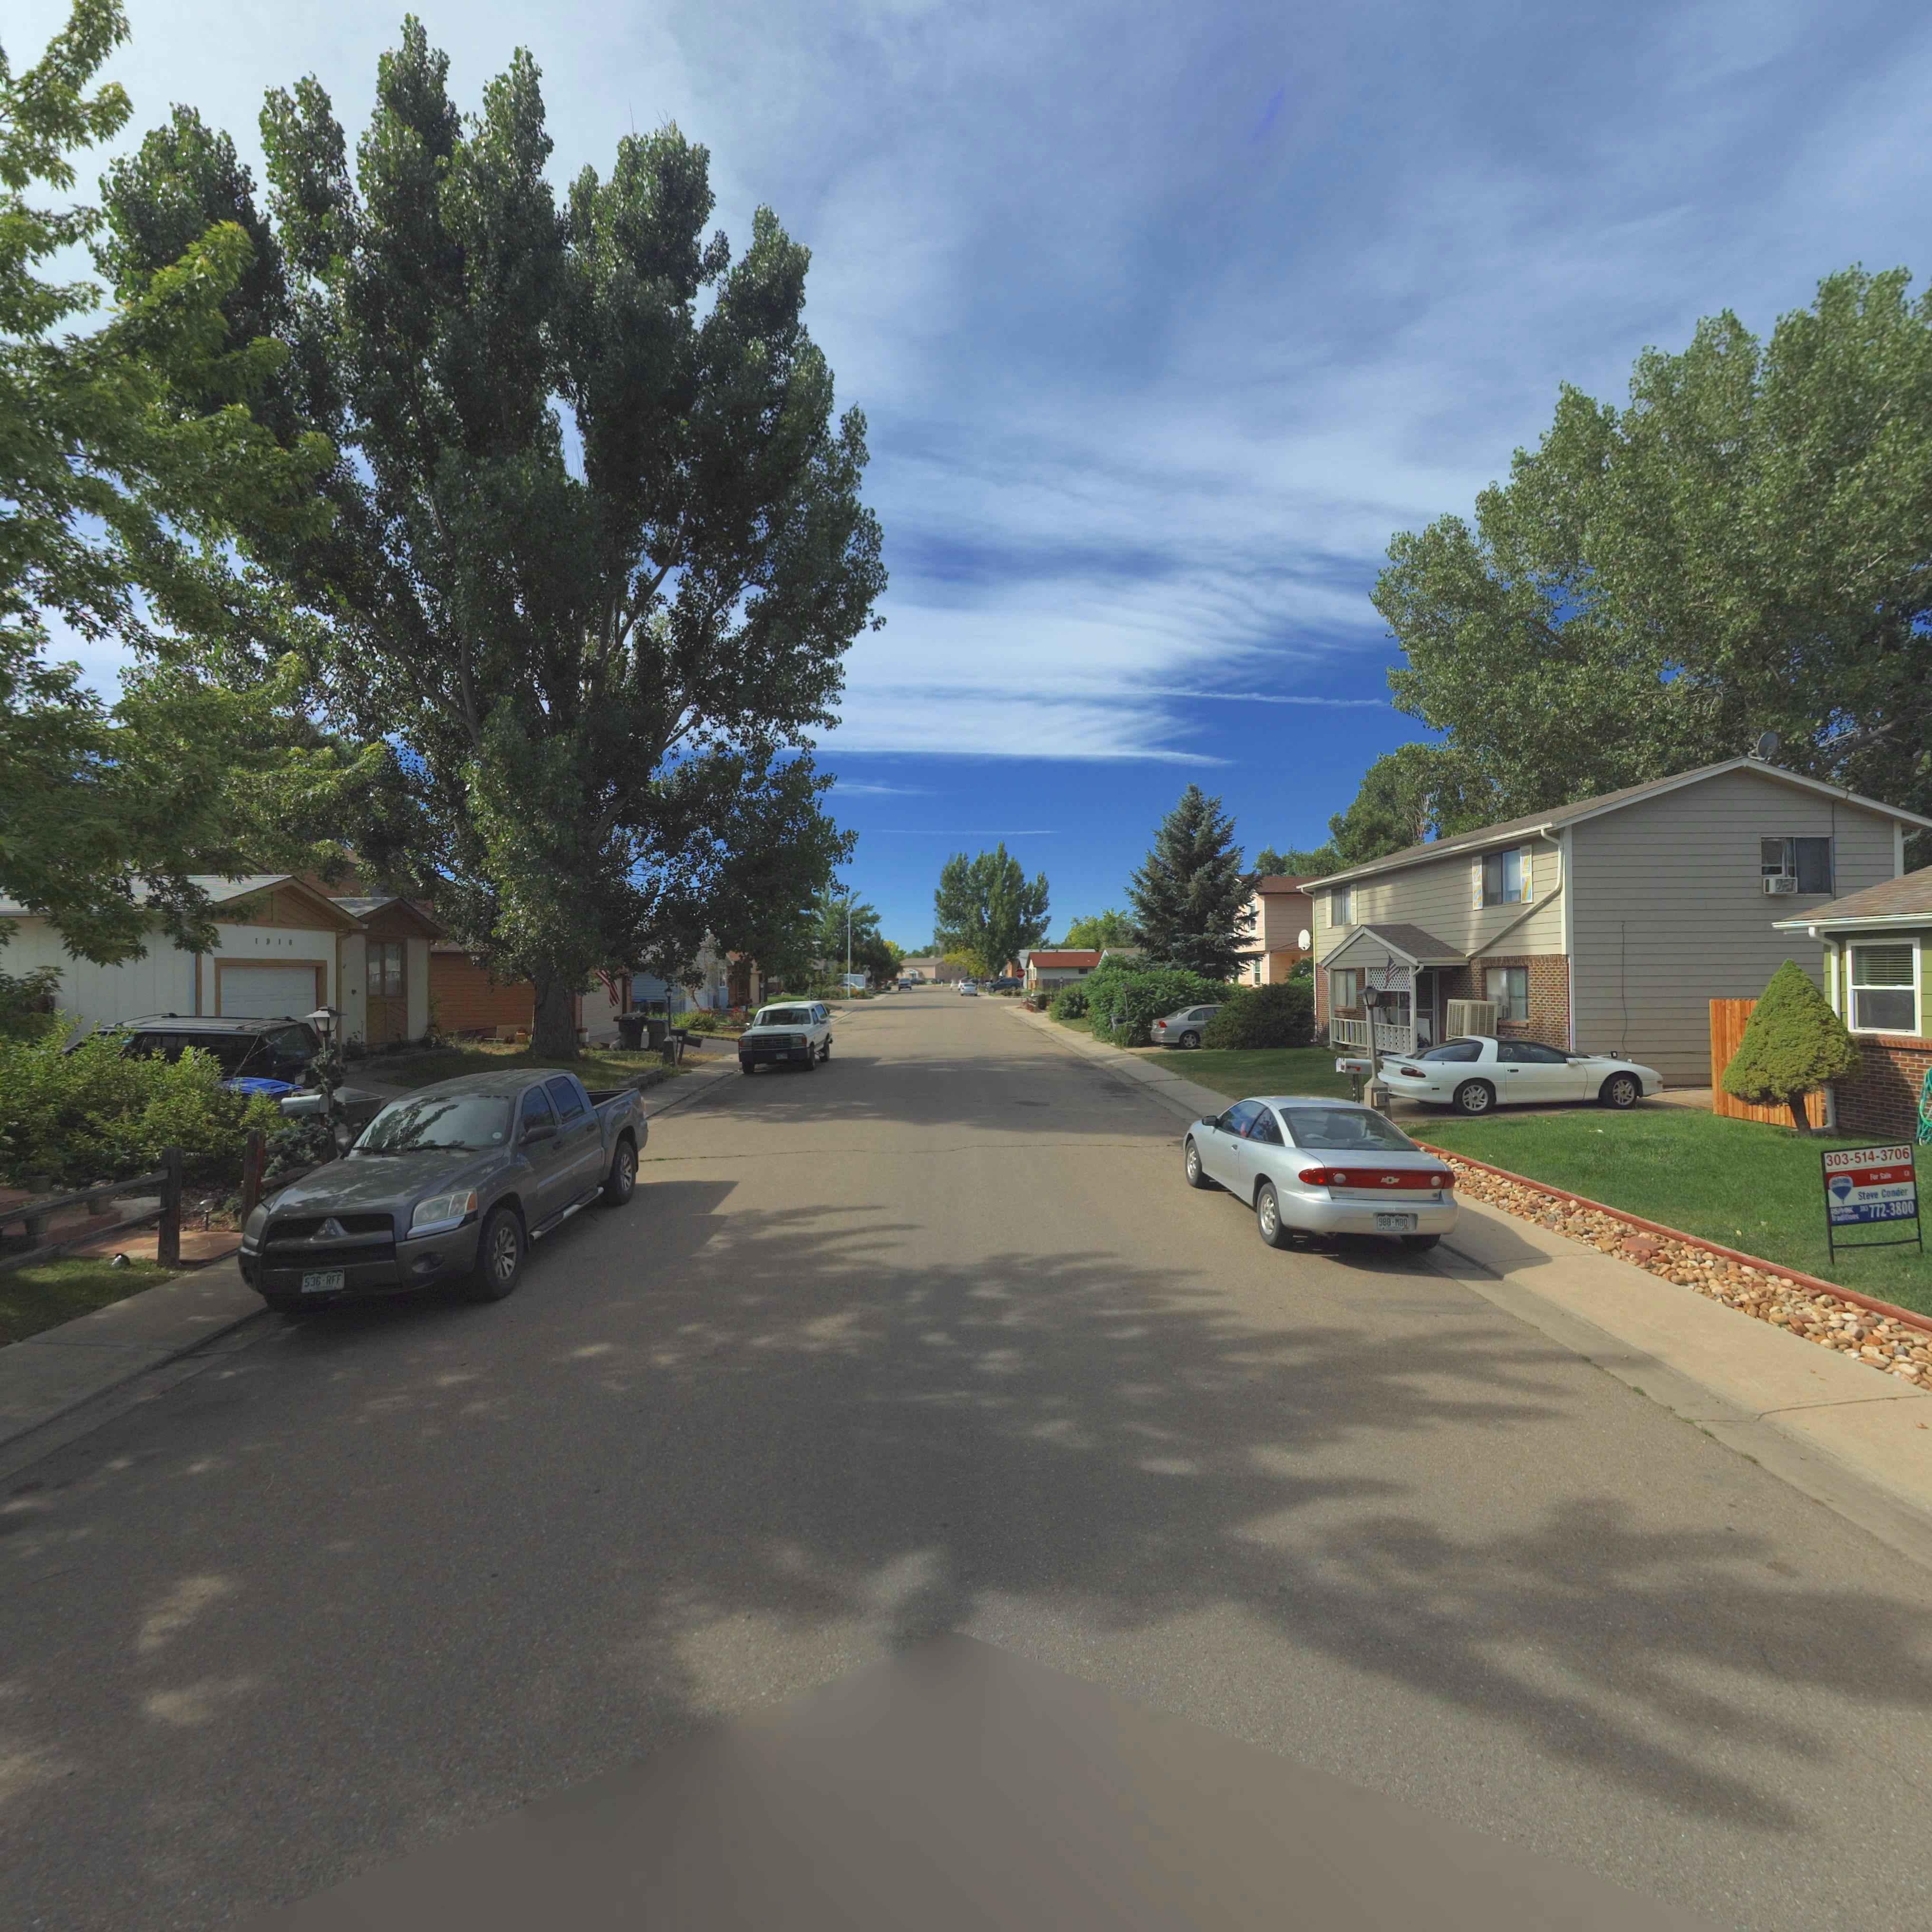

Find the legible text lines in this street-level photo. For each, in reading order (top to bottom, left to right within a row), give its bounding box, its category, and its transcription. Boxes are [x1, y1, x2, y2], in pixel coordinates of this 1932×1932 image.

[254, 937, 293, 946] StreetNumber: 1918